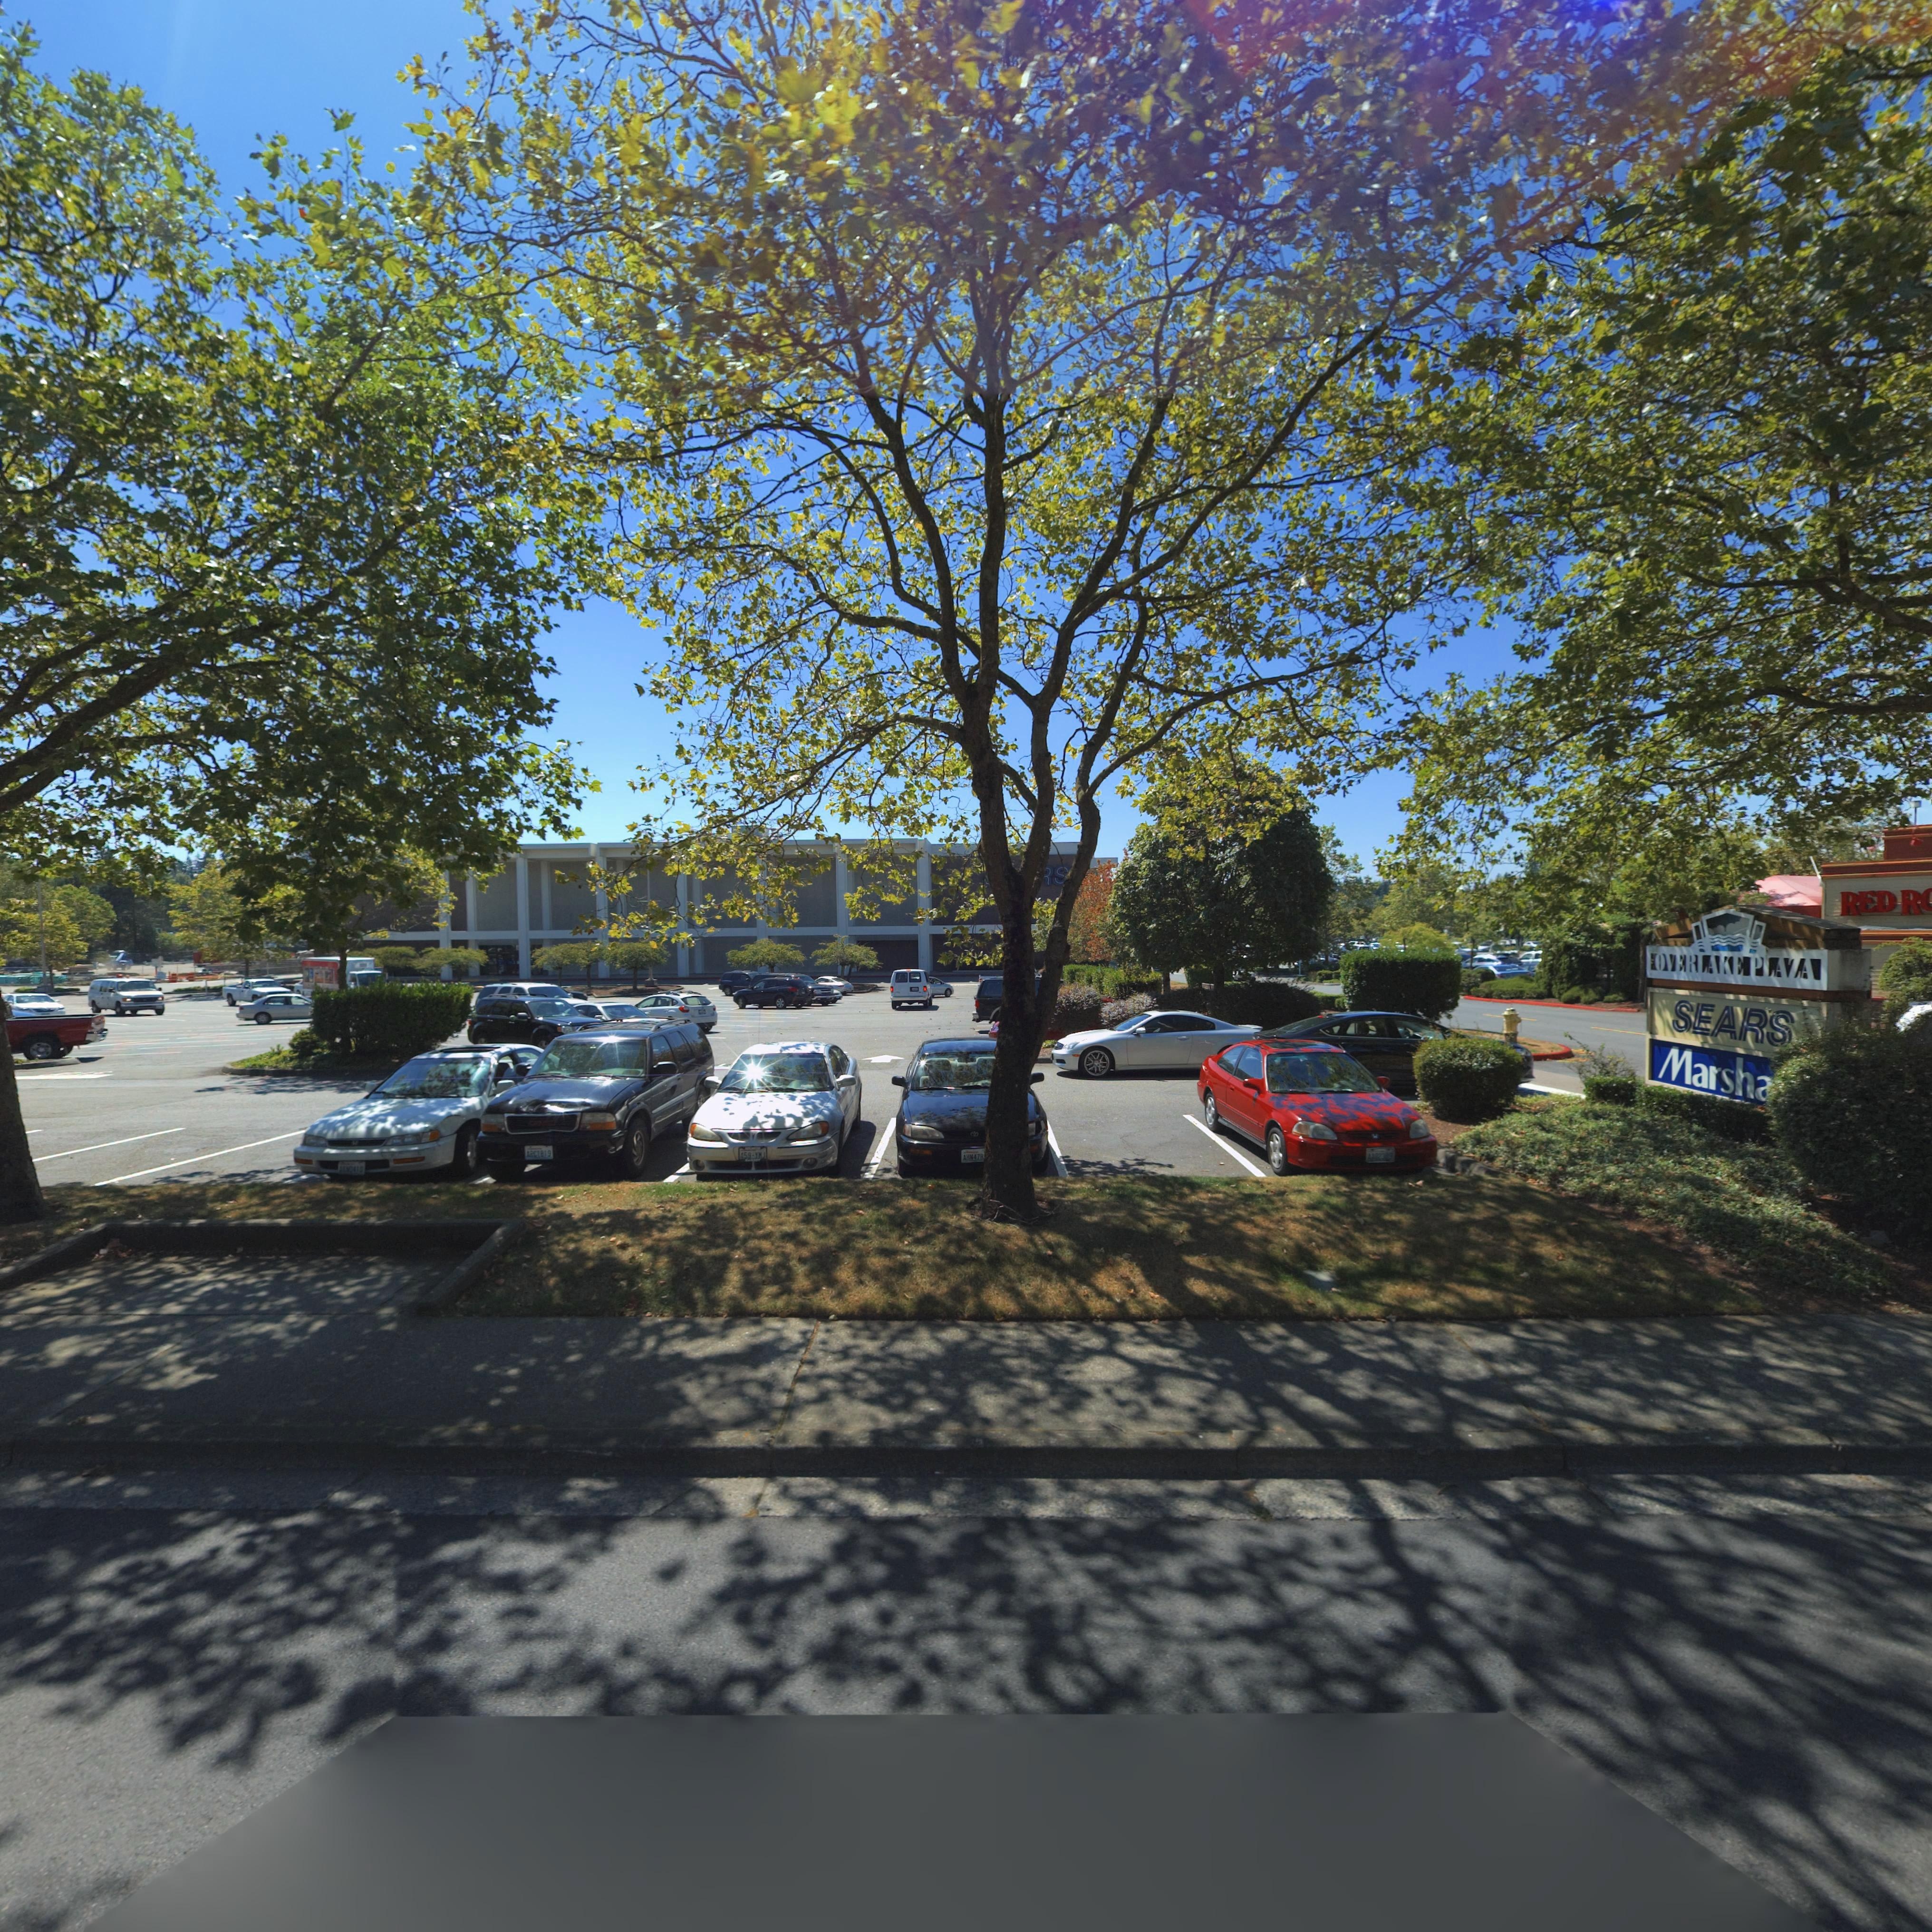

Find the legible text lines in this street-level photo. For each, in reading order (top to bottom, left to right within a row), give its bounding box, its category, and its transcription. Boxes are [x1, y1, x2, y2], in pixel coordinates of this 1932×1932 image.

[1666, 998, 1796, 1050] BusinessName: SEARS
[1655, 1044, 1777, 1105] BusinessName: Marsha